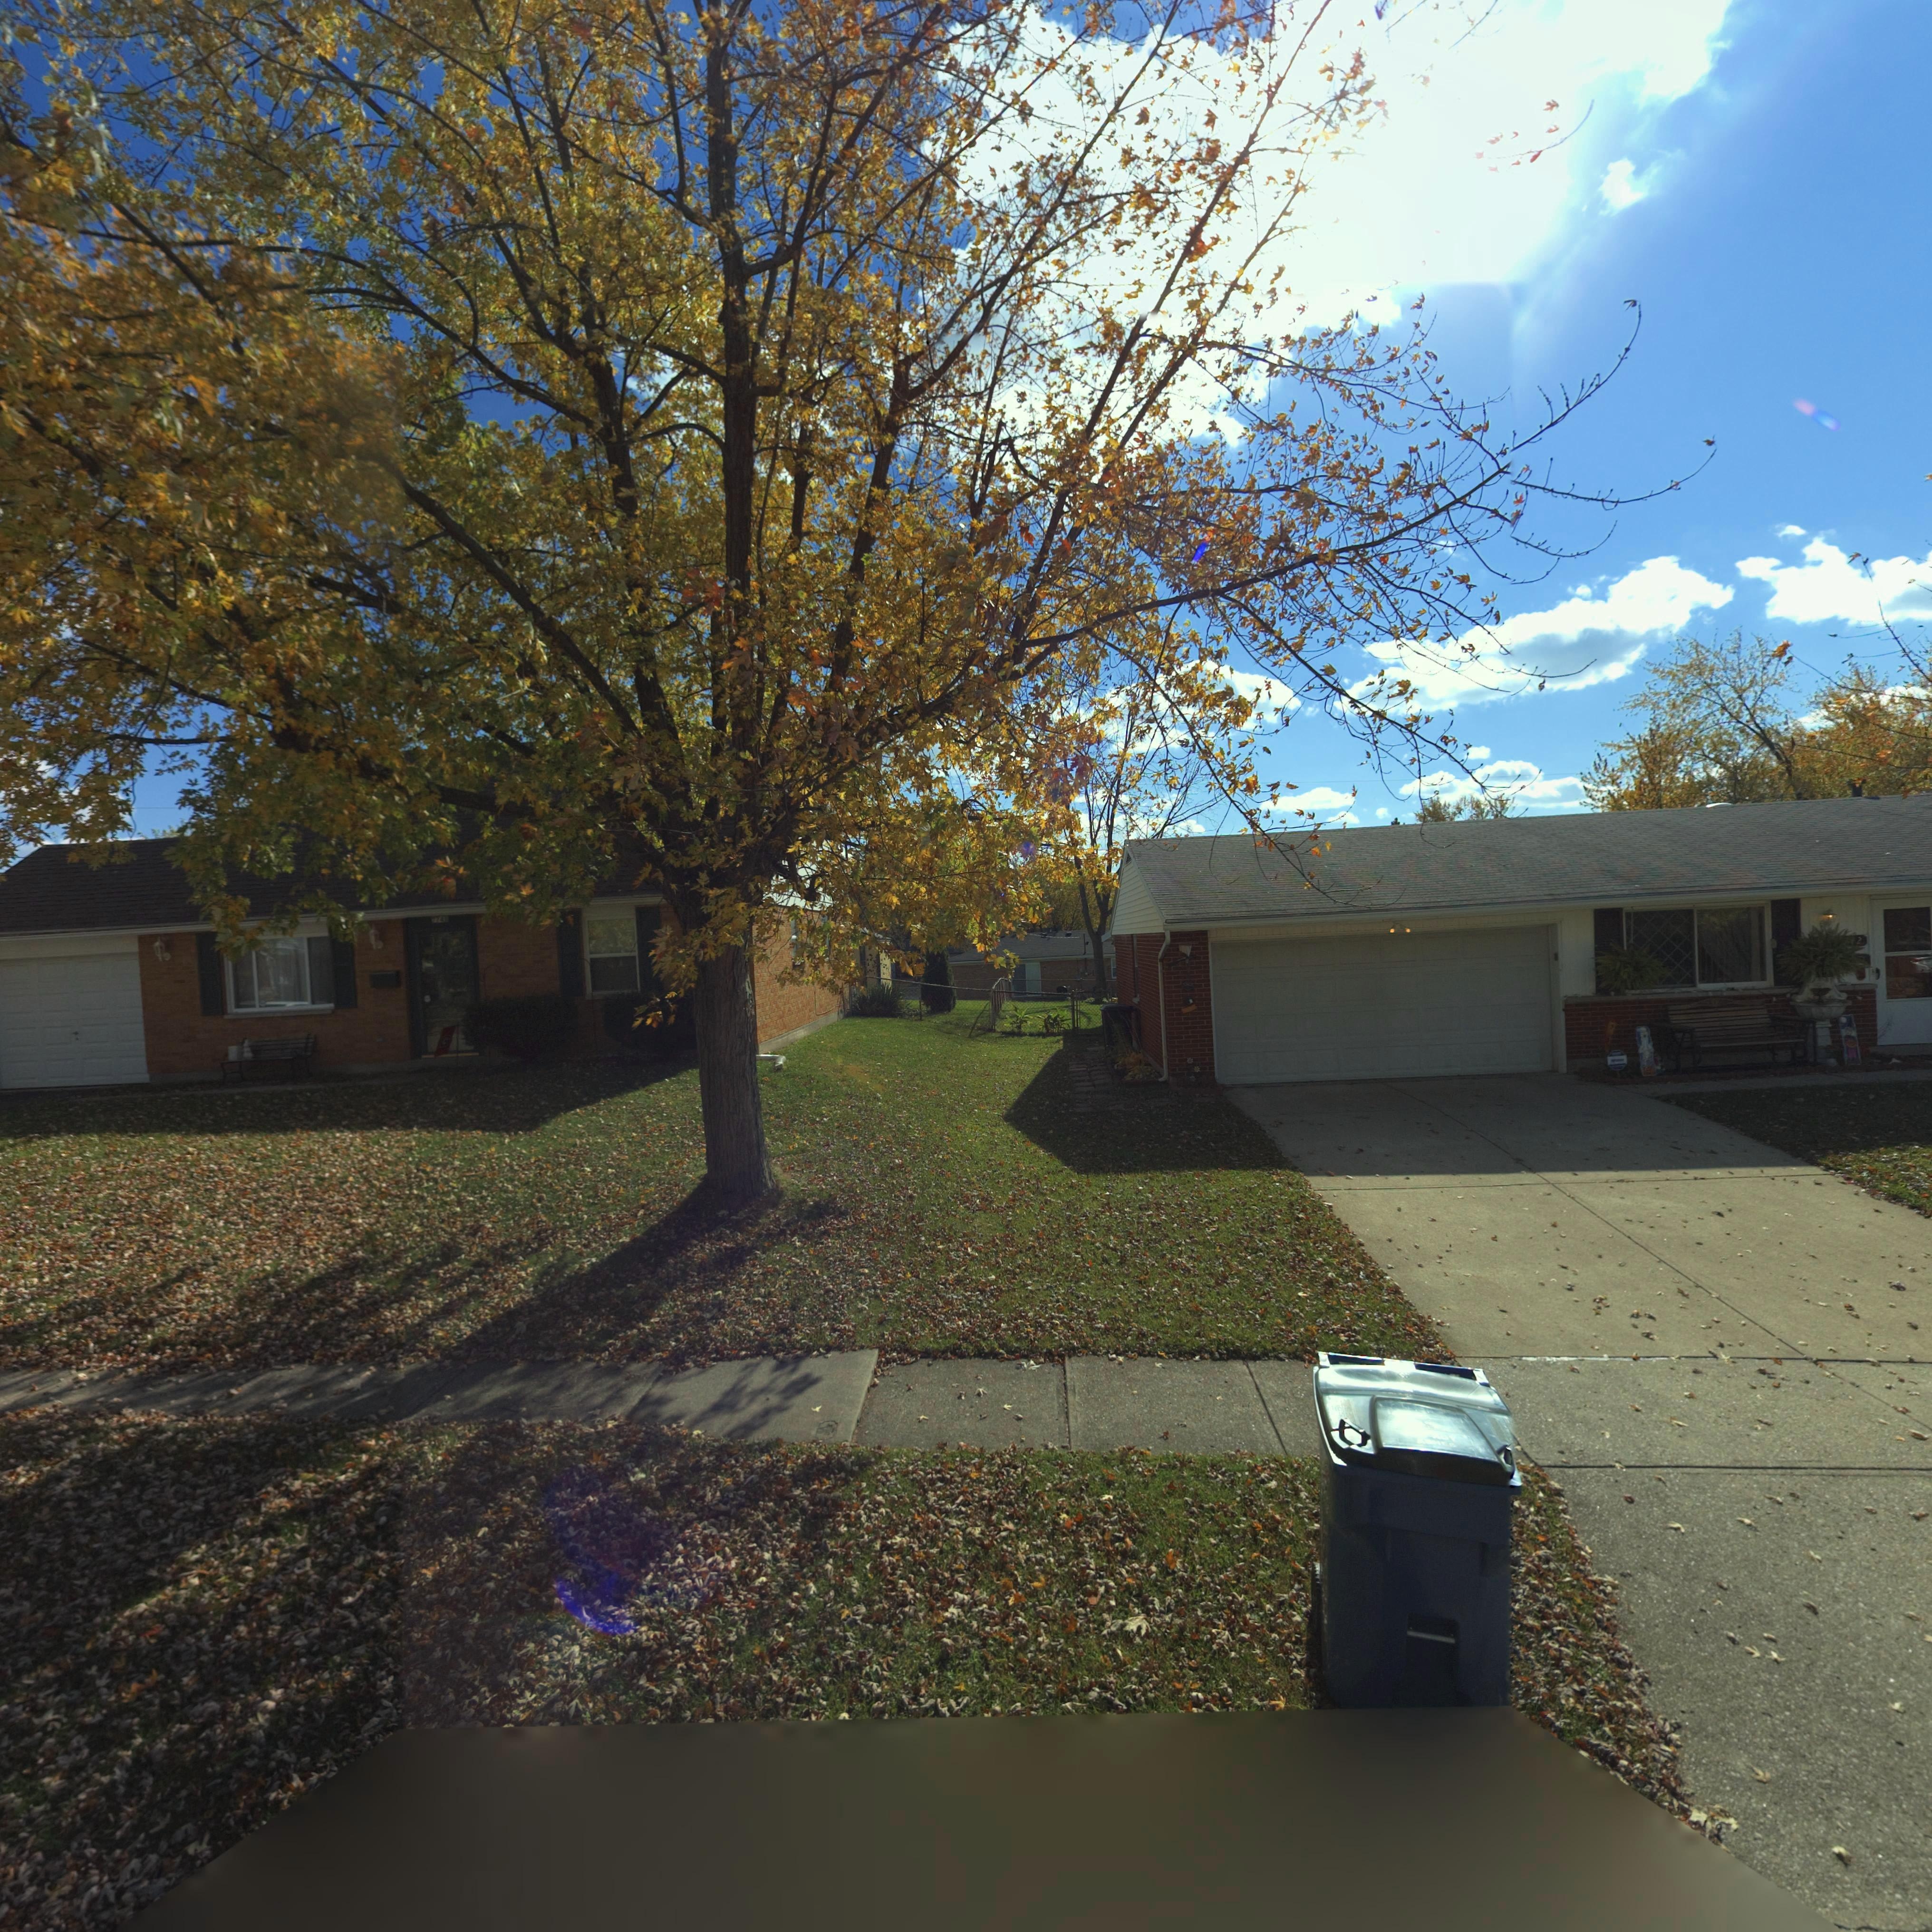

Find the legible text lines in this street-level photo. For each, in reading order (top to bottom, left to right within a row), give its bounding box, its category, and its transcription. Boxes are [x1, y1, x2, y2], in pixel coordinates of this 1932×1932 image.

[430, 915, 448, 923] StreetNumber: 7741
[1855, 936, 1863, 944] StreetNumber: 2